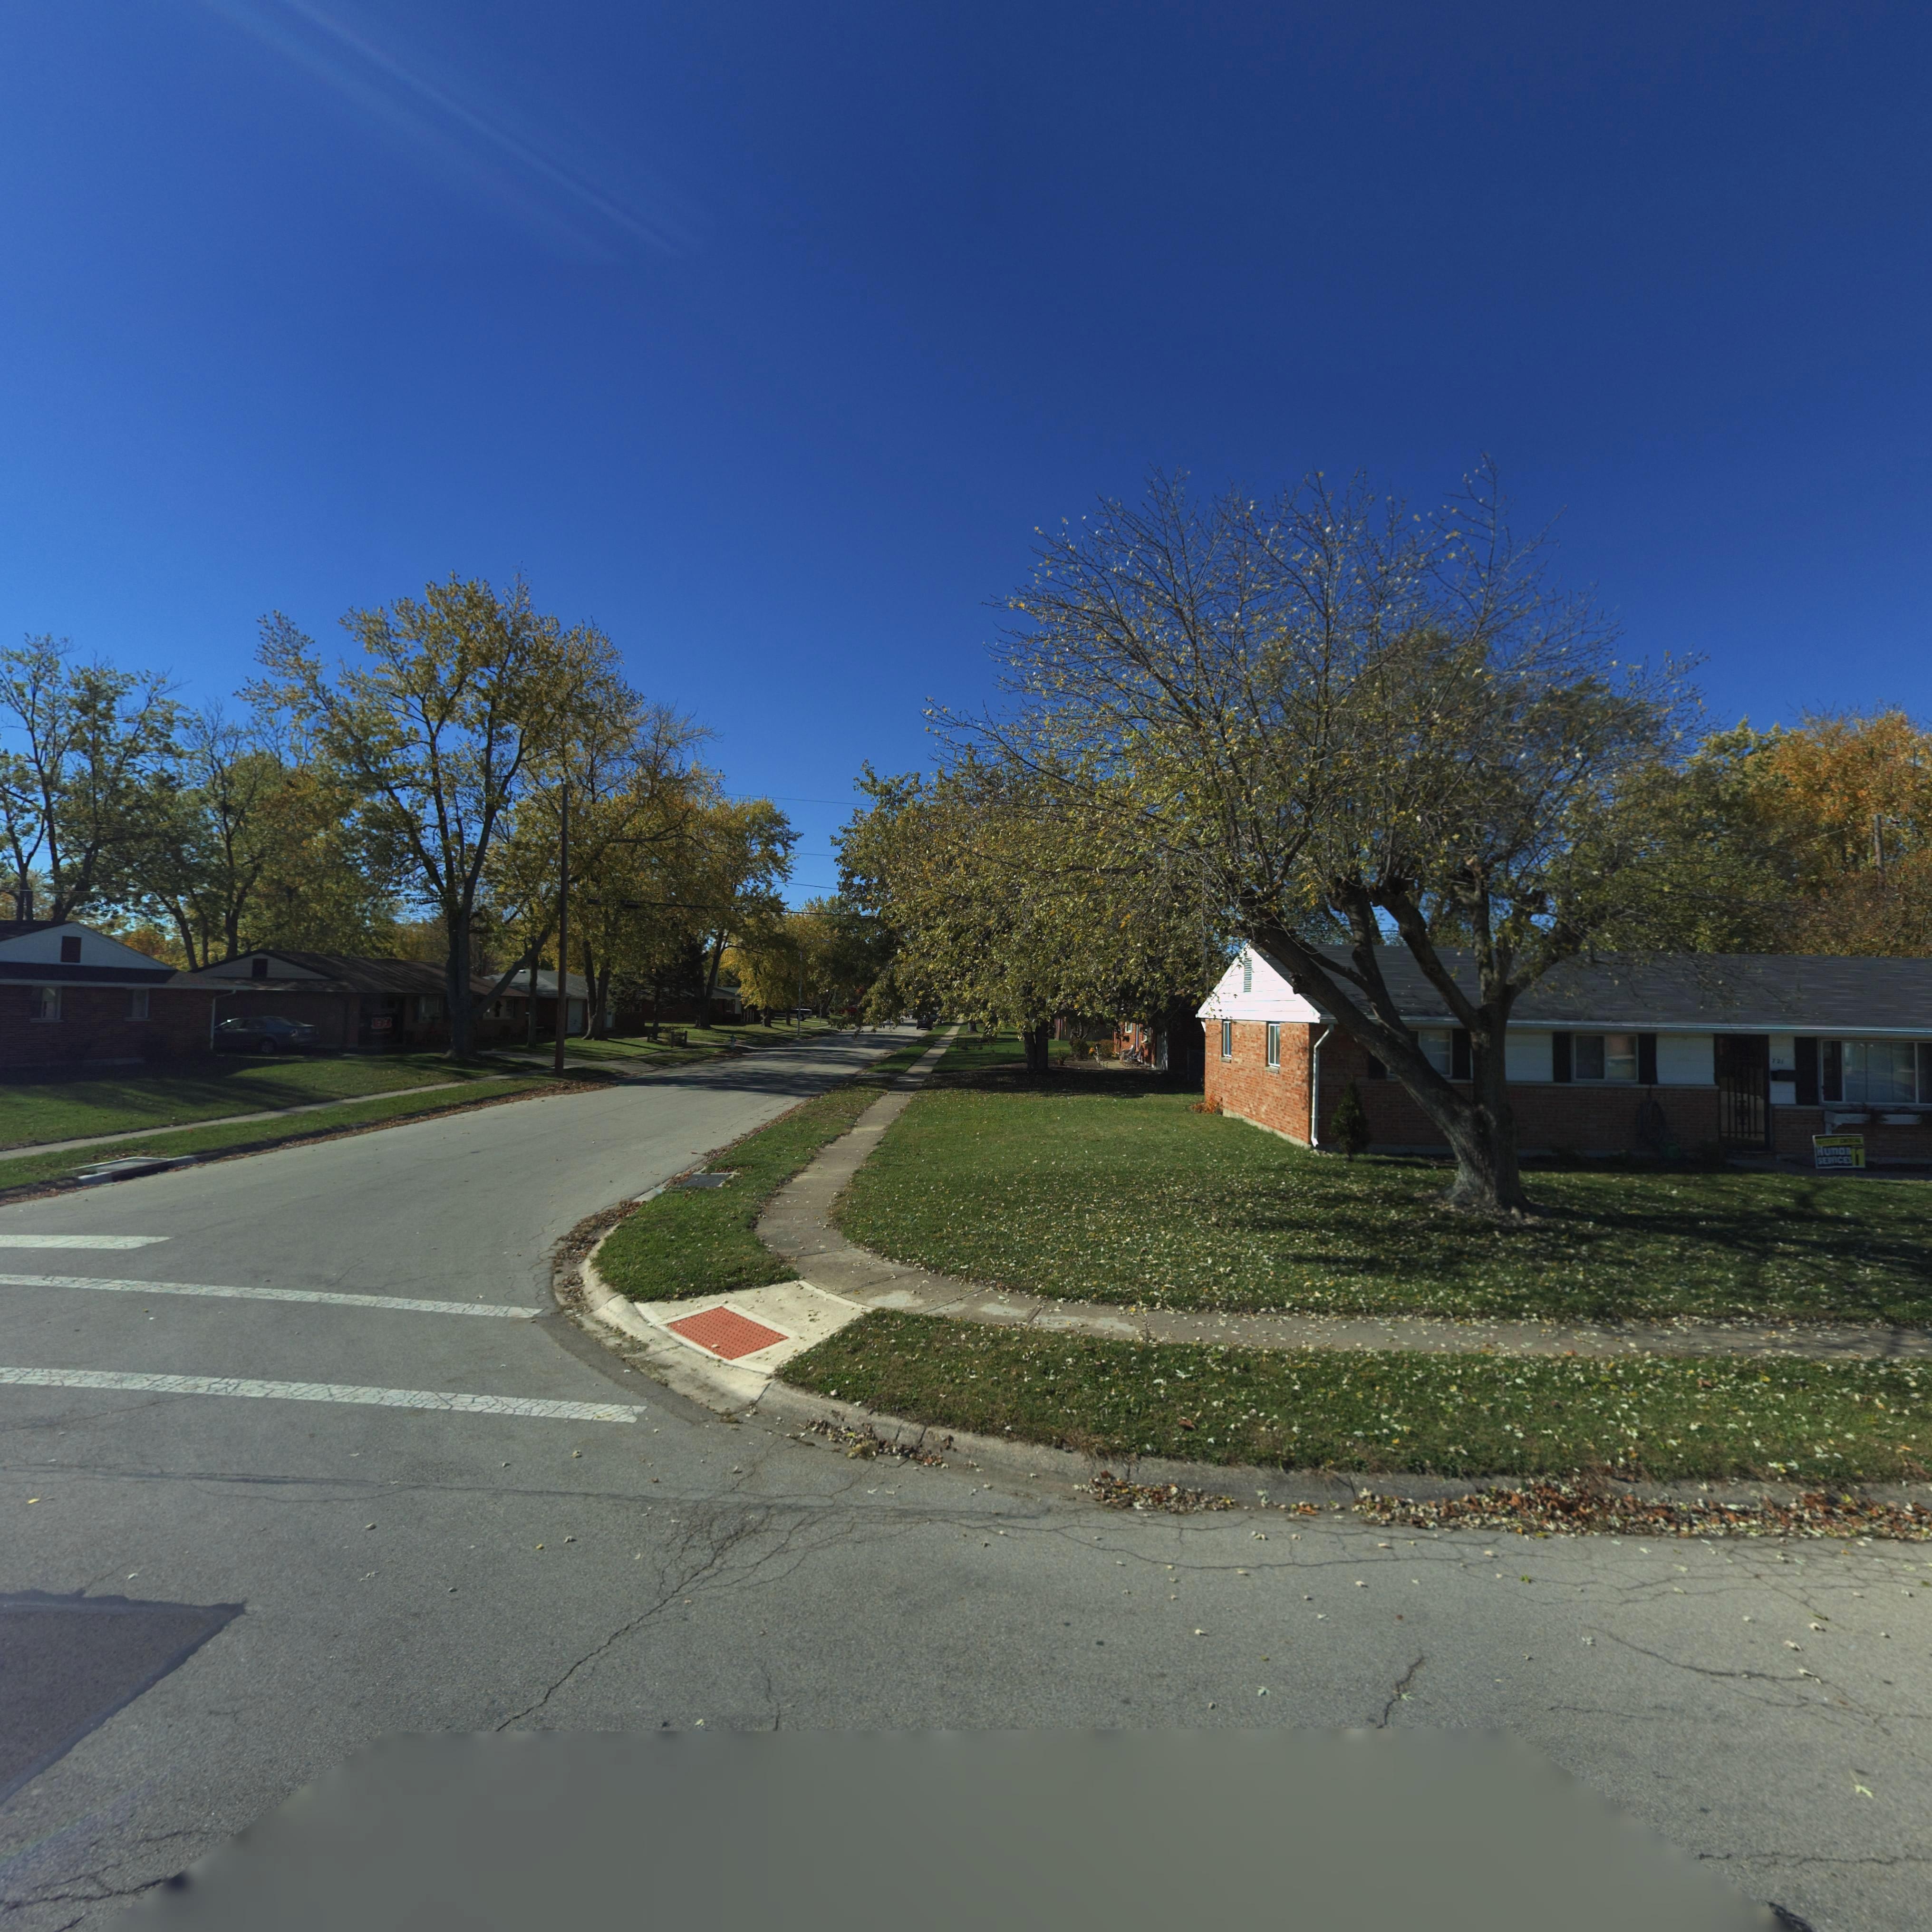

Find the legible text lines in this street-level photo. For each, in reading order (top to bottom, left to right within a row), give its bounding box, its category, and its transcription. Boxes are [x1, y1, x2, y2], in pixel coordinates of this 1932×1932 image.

[1770, 1057, 1785, 1065] StreetNumber: 72*
[1815, 1137, 1862, 1146] None: PROTECT CRITICAL
[1816, 1146, 1852, 1157] None: Human
[1817, 1156, 1854, 1165] None: SERVICES
[1849, 1147, 1865, 1167] None: 11